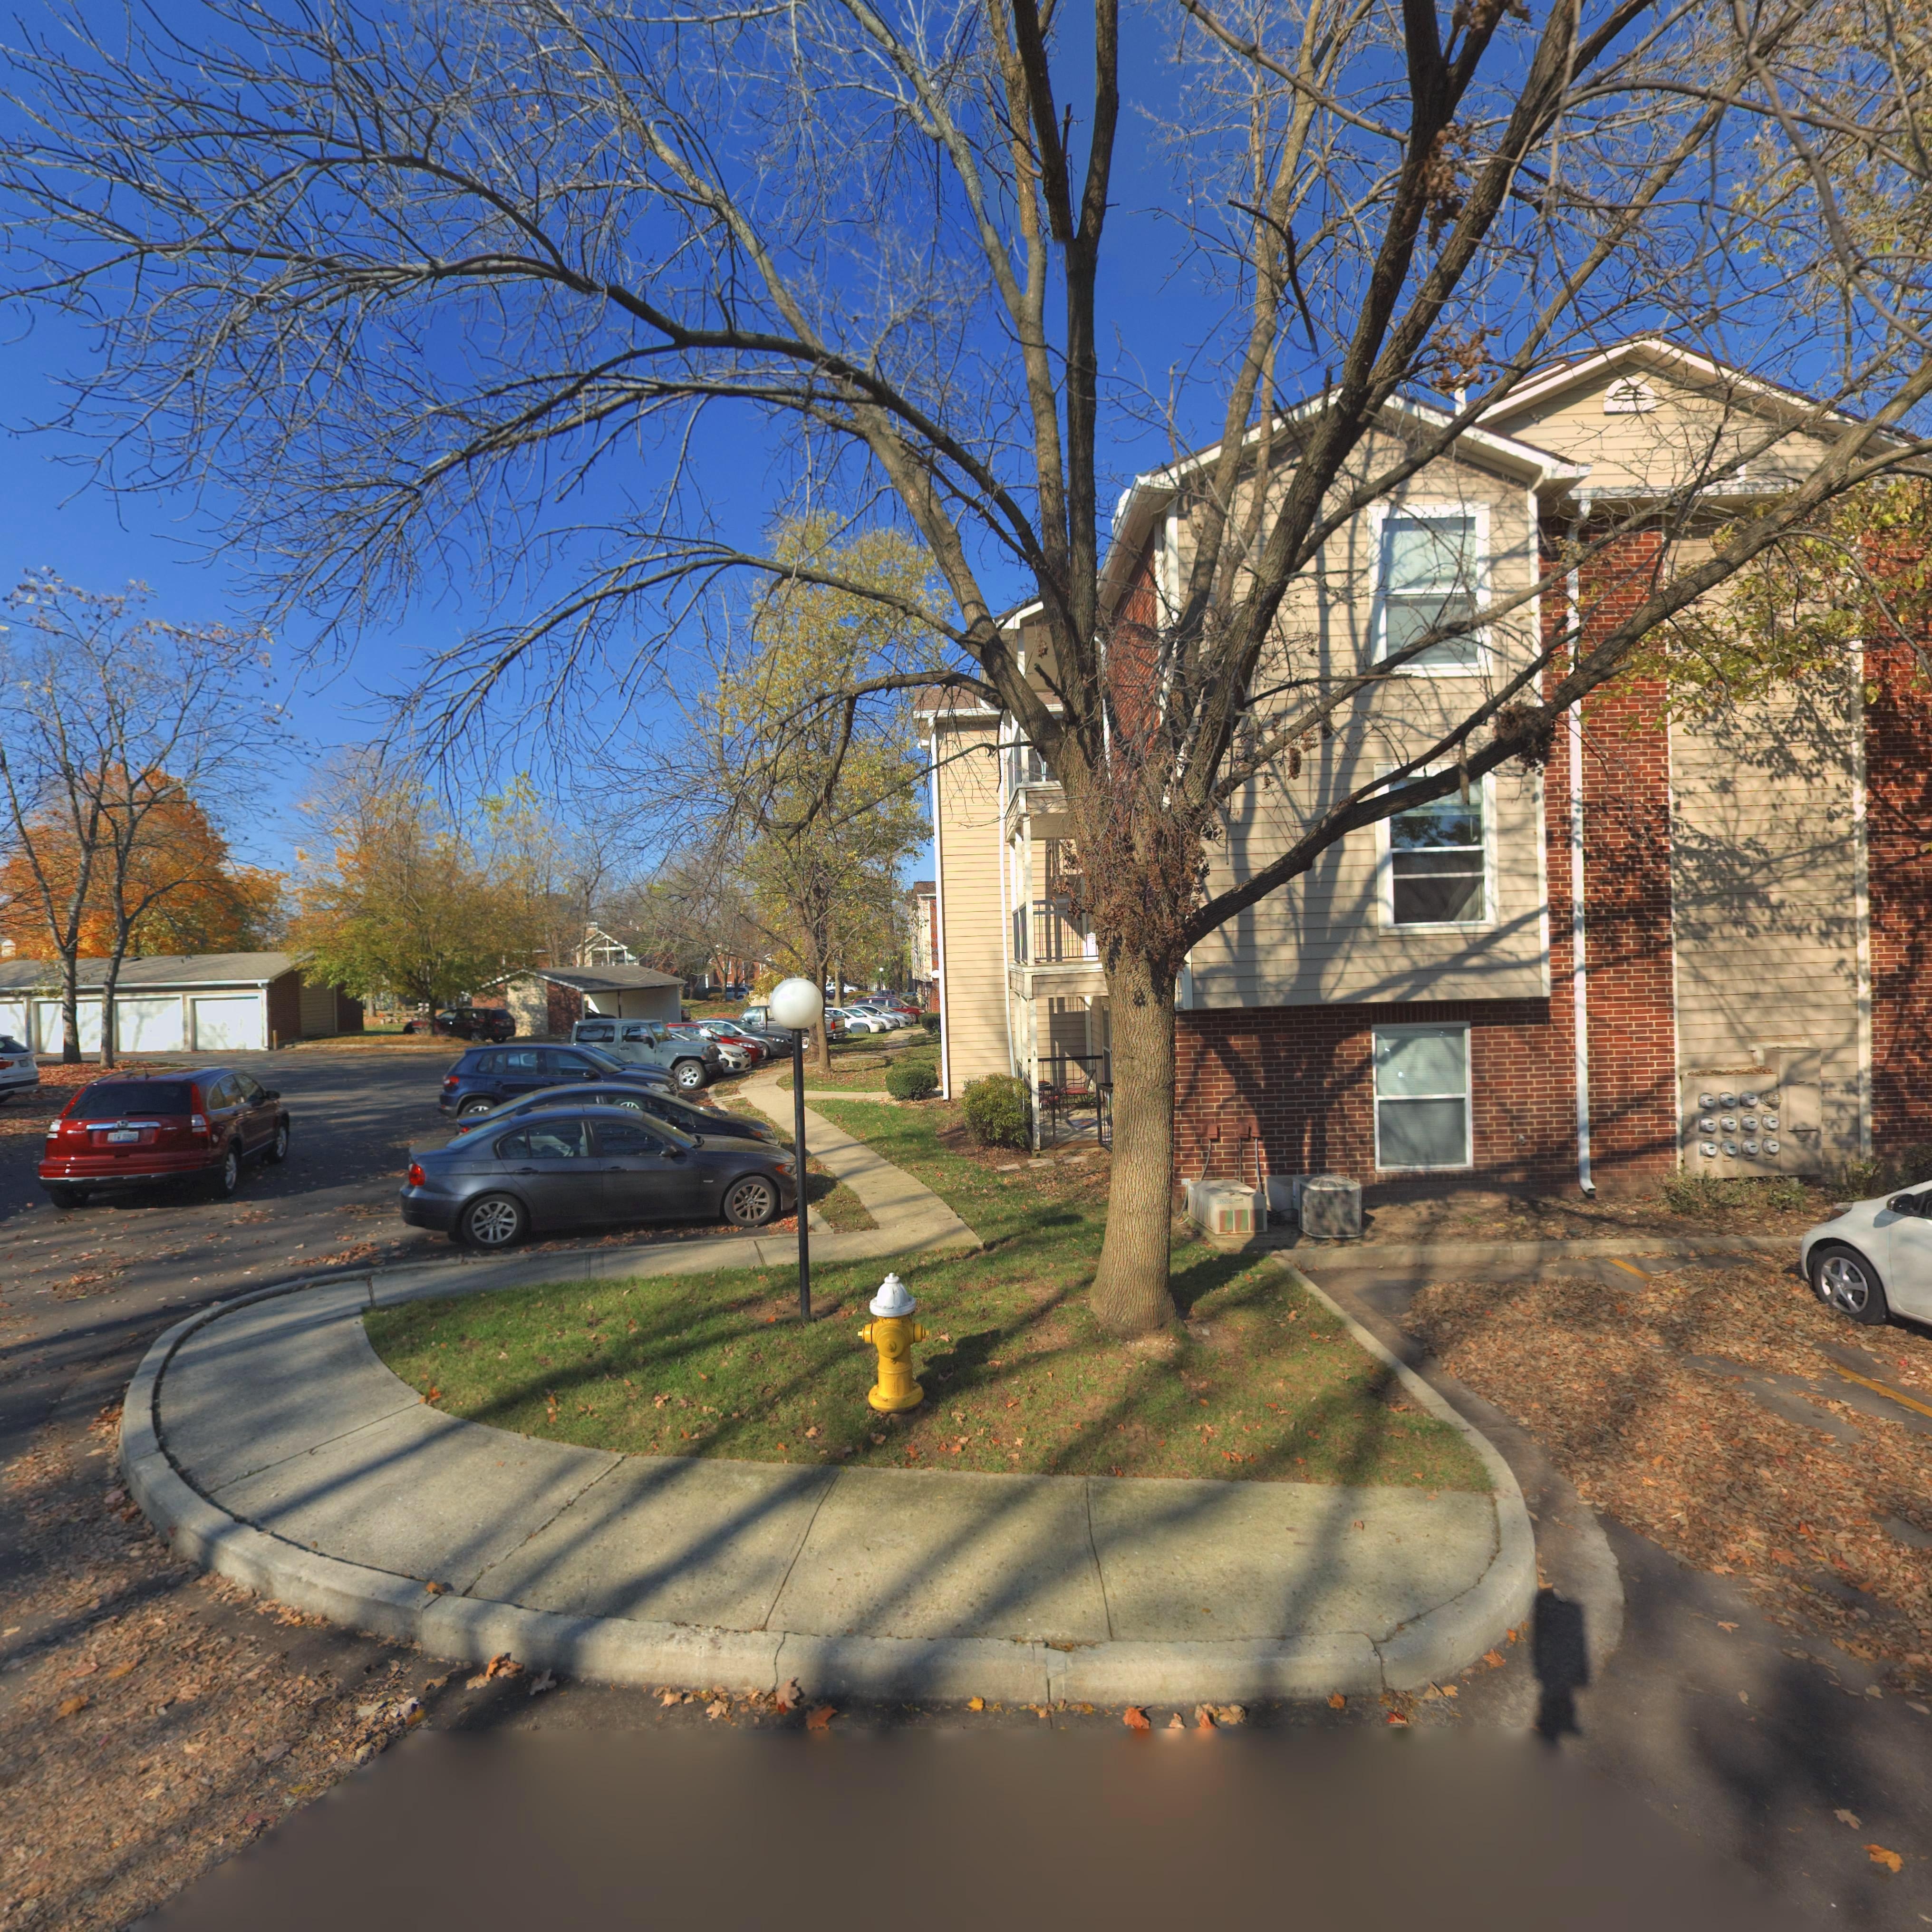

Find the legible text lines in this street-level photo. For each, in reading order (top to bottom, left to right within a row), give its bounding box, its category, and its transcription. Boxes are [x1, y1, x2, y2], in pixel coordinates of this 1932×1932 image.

[107, 1133, 137, 1141] None: *TW*83*0